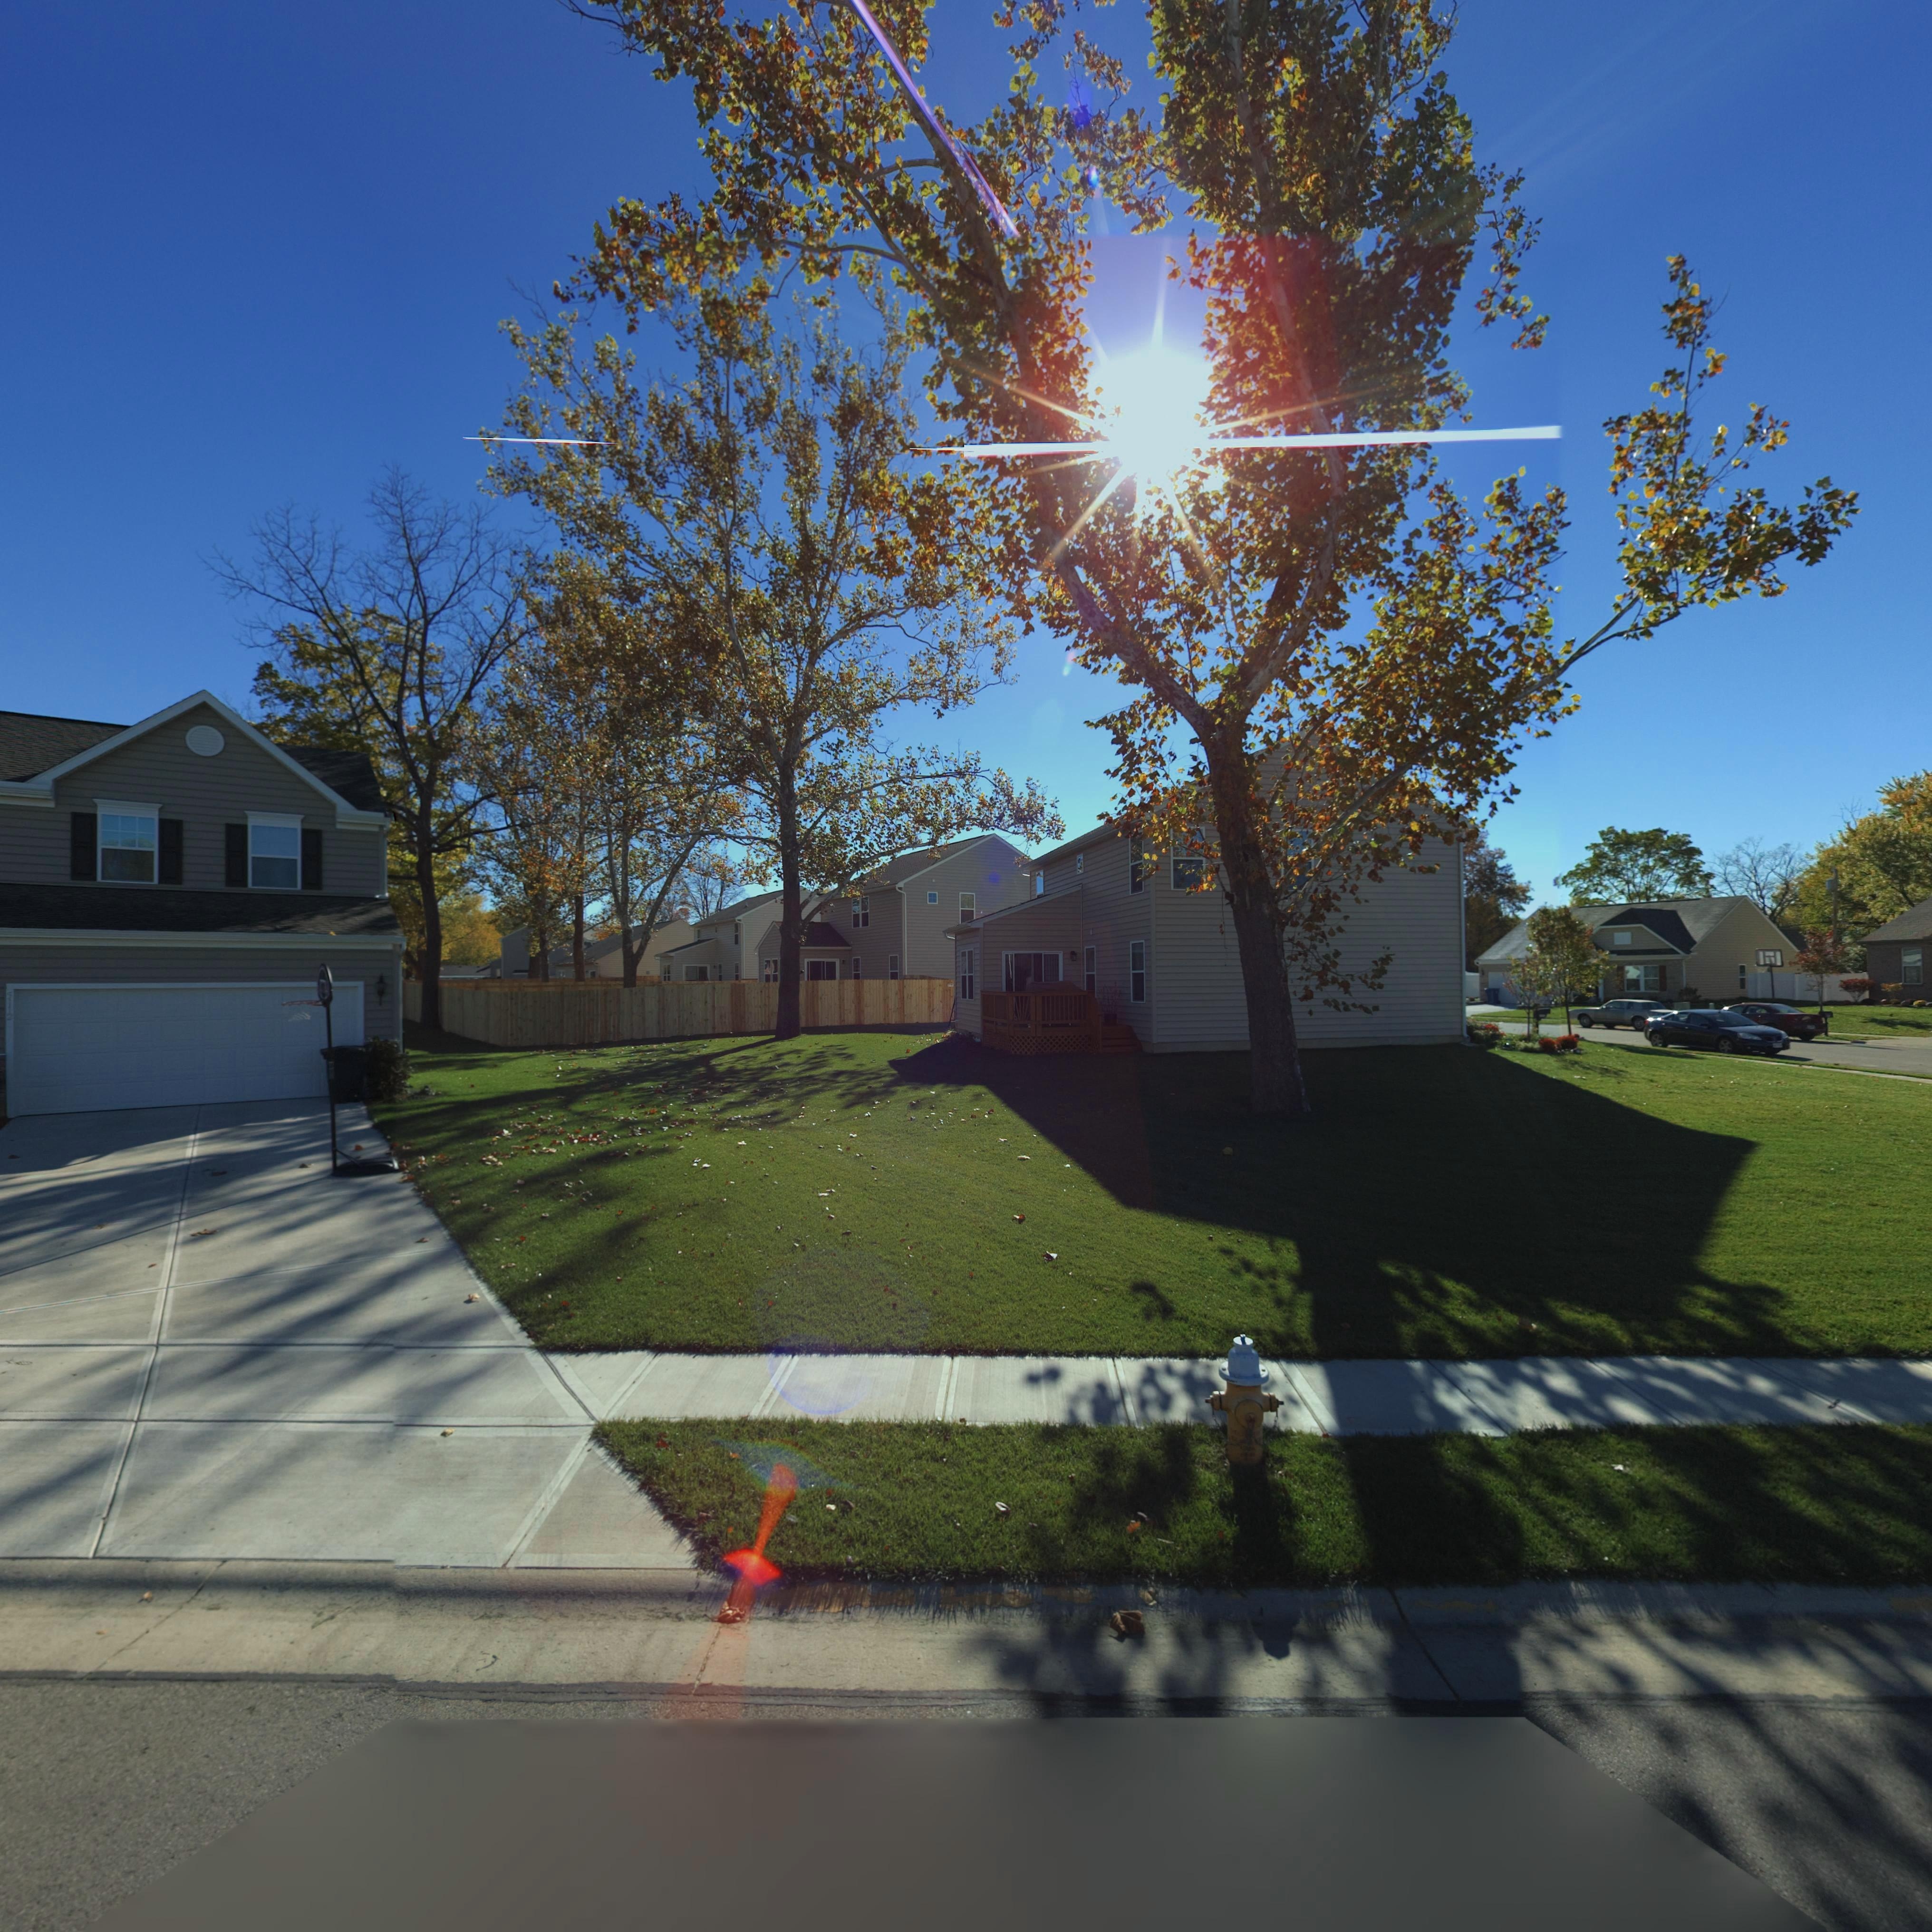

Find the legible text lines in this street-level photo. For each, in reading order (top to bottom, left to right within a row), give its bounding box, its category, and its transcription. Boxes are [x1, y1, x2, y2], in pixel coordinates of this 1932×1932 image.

[6, 991, 13, 1021] StreetNumber: 5112